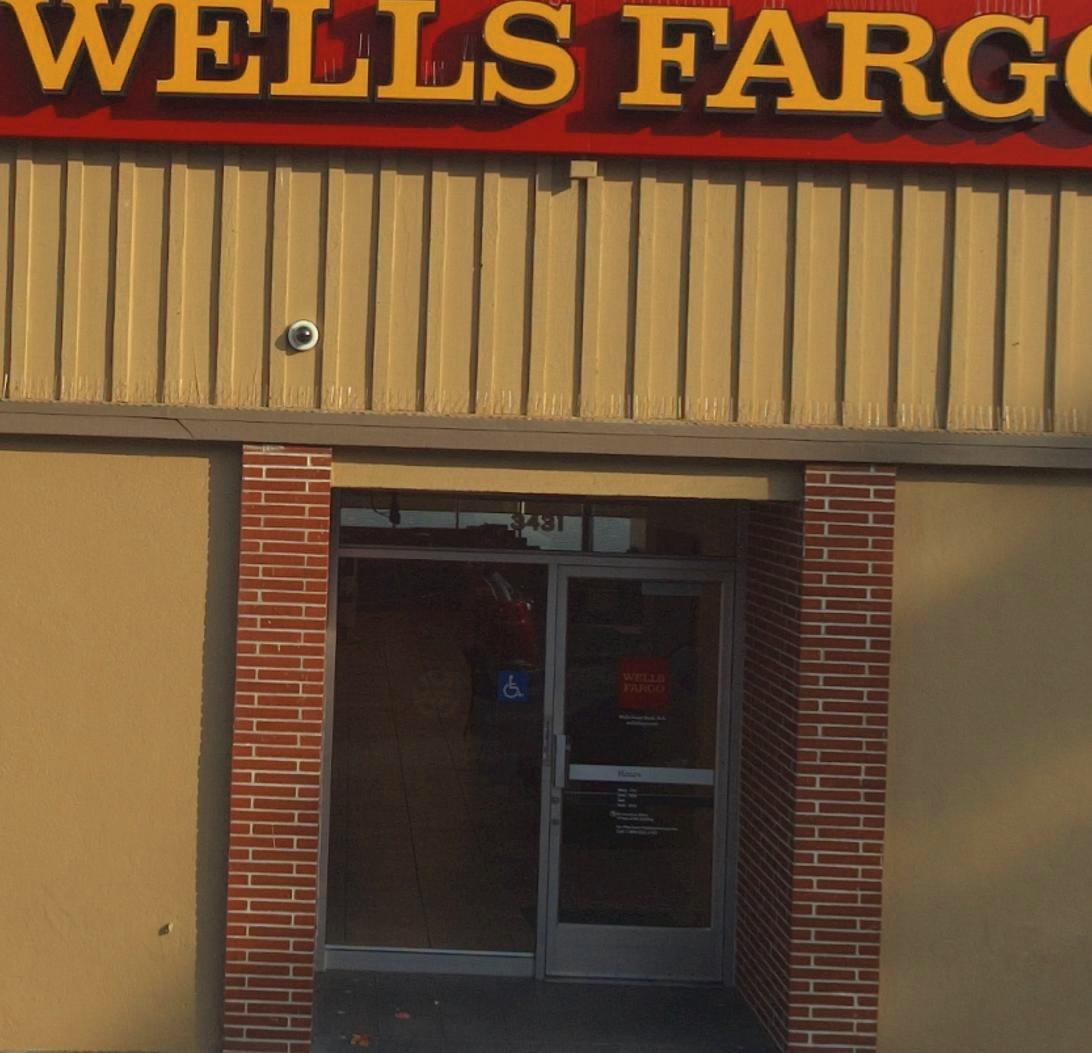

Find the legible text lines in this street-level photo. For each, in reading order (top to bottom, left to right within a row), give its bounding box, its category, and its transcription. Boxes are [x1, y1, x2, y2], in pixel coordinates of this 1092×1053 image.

[165, 0, 1059, 121] BusinessName: ELLS FARG
[509, 510, 566, 533] StreetNumber: 3431
[617, 671, 667, 685] BusinessName: WELLS
[622, 680, 667, 695] BusinessName: FARGO